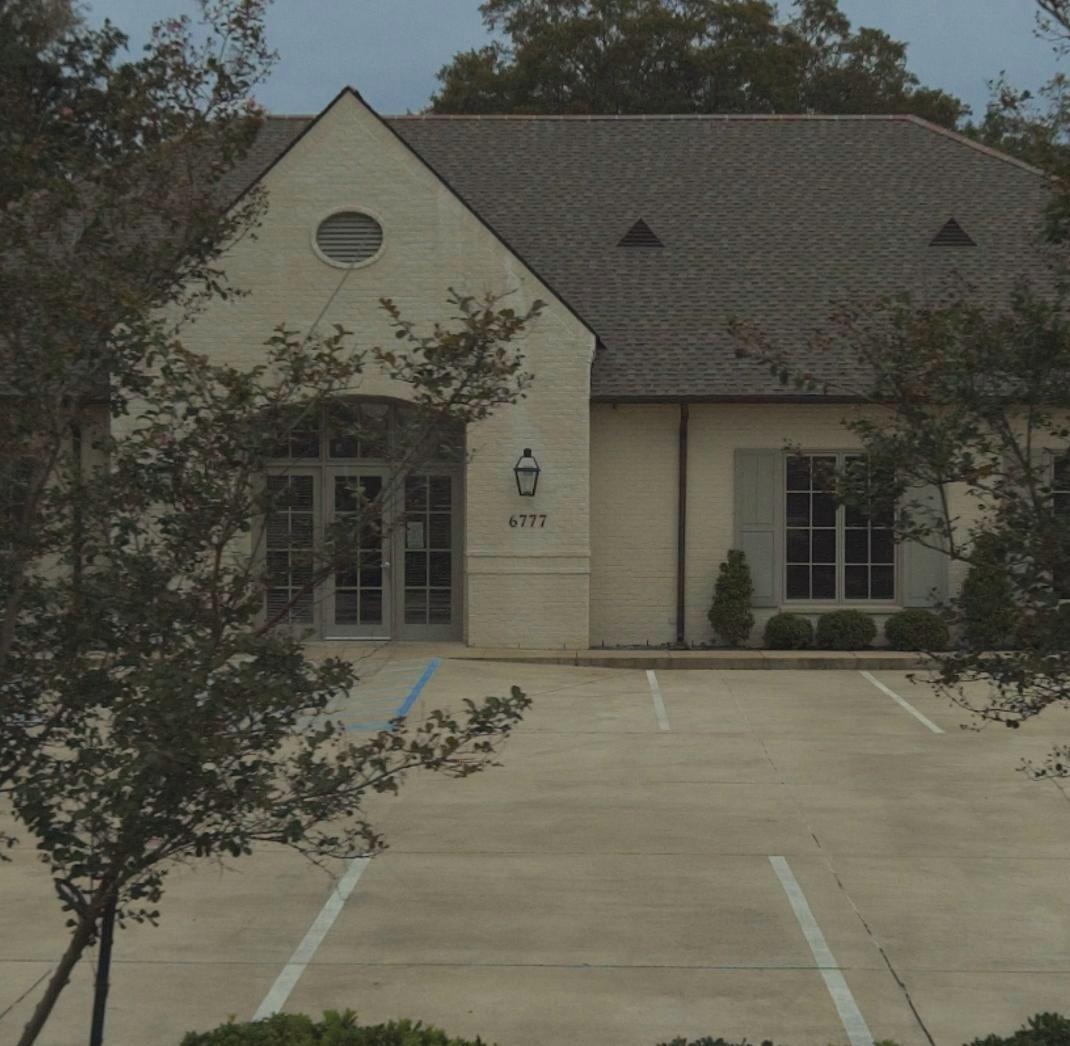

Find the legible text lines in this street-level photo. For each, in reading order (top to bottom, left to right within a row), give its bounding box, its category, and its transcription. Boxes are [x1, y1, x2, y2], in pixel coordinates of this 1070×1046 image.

[507, 513, 548, 529] StreetNumber: 6777